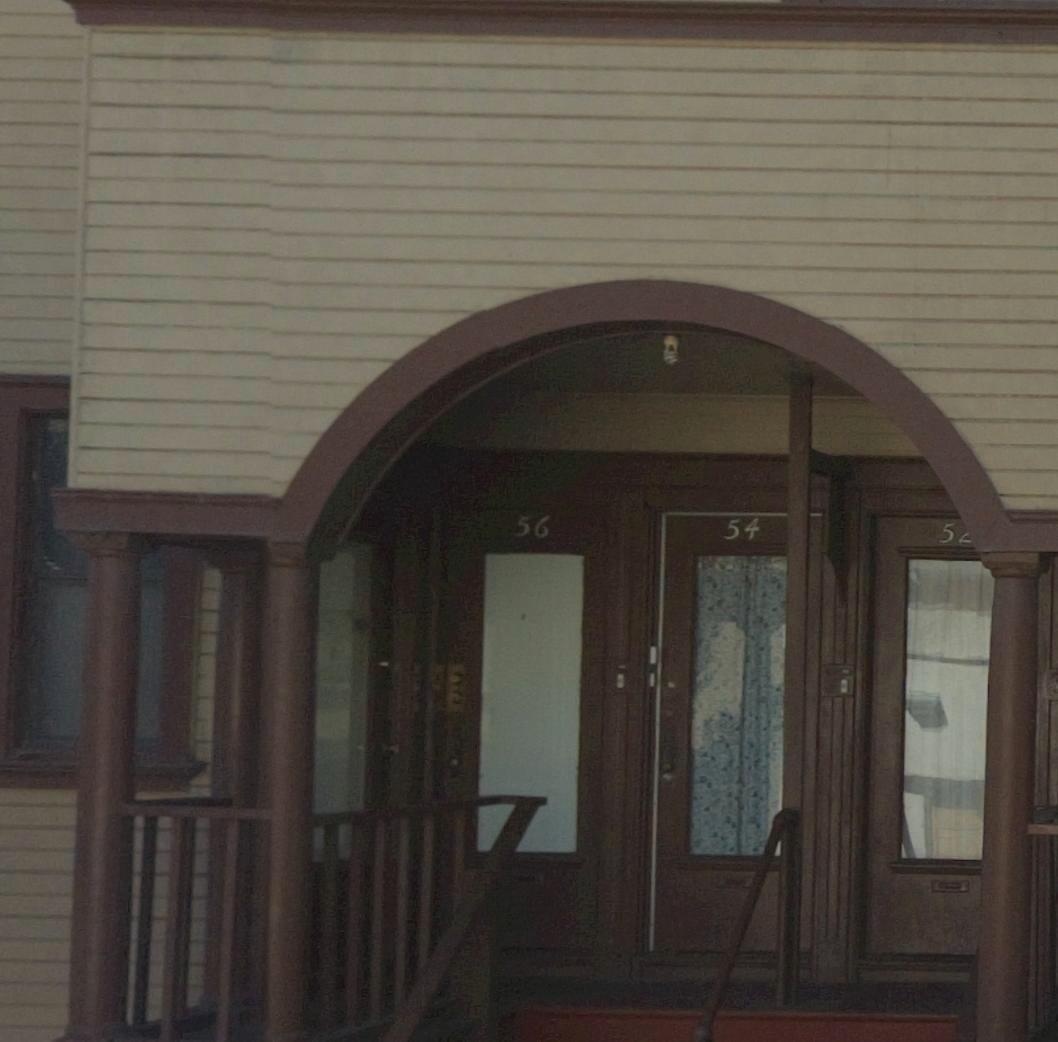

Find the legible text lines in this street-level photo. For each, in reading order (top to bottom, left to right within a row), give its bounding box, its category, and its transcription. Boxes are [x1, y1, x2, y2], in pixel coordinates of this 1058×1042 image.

[510, 511, 556, 542] StreetNumber: 56
[720, 515, 764, 544] StreetNumber: 54
[935, 520, 960, 547] StreetNumber: 5